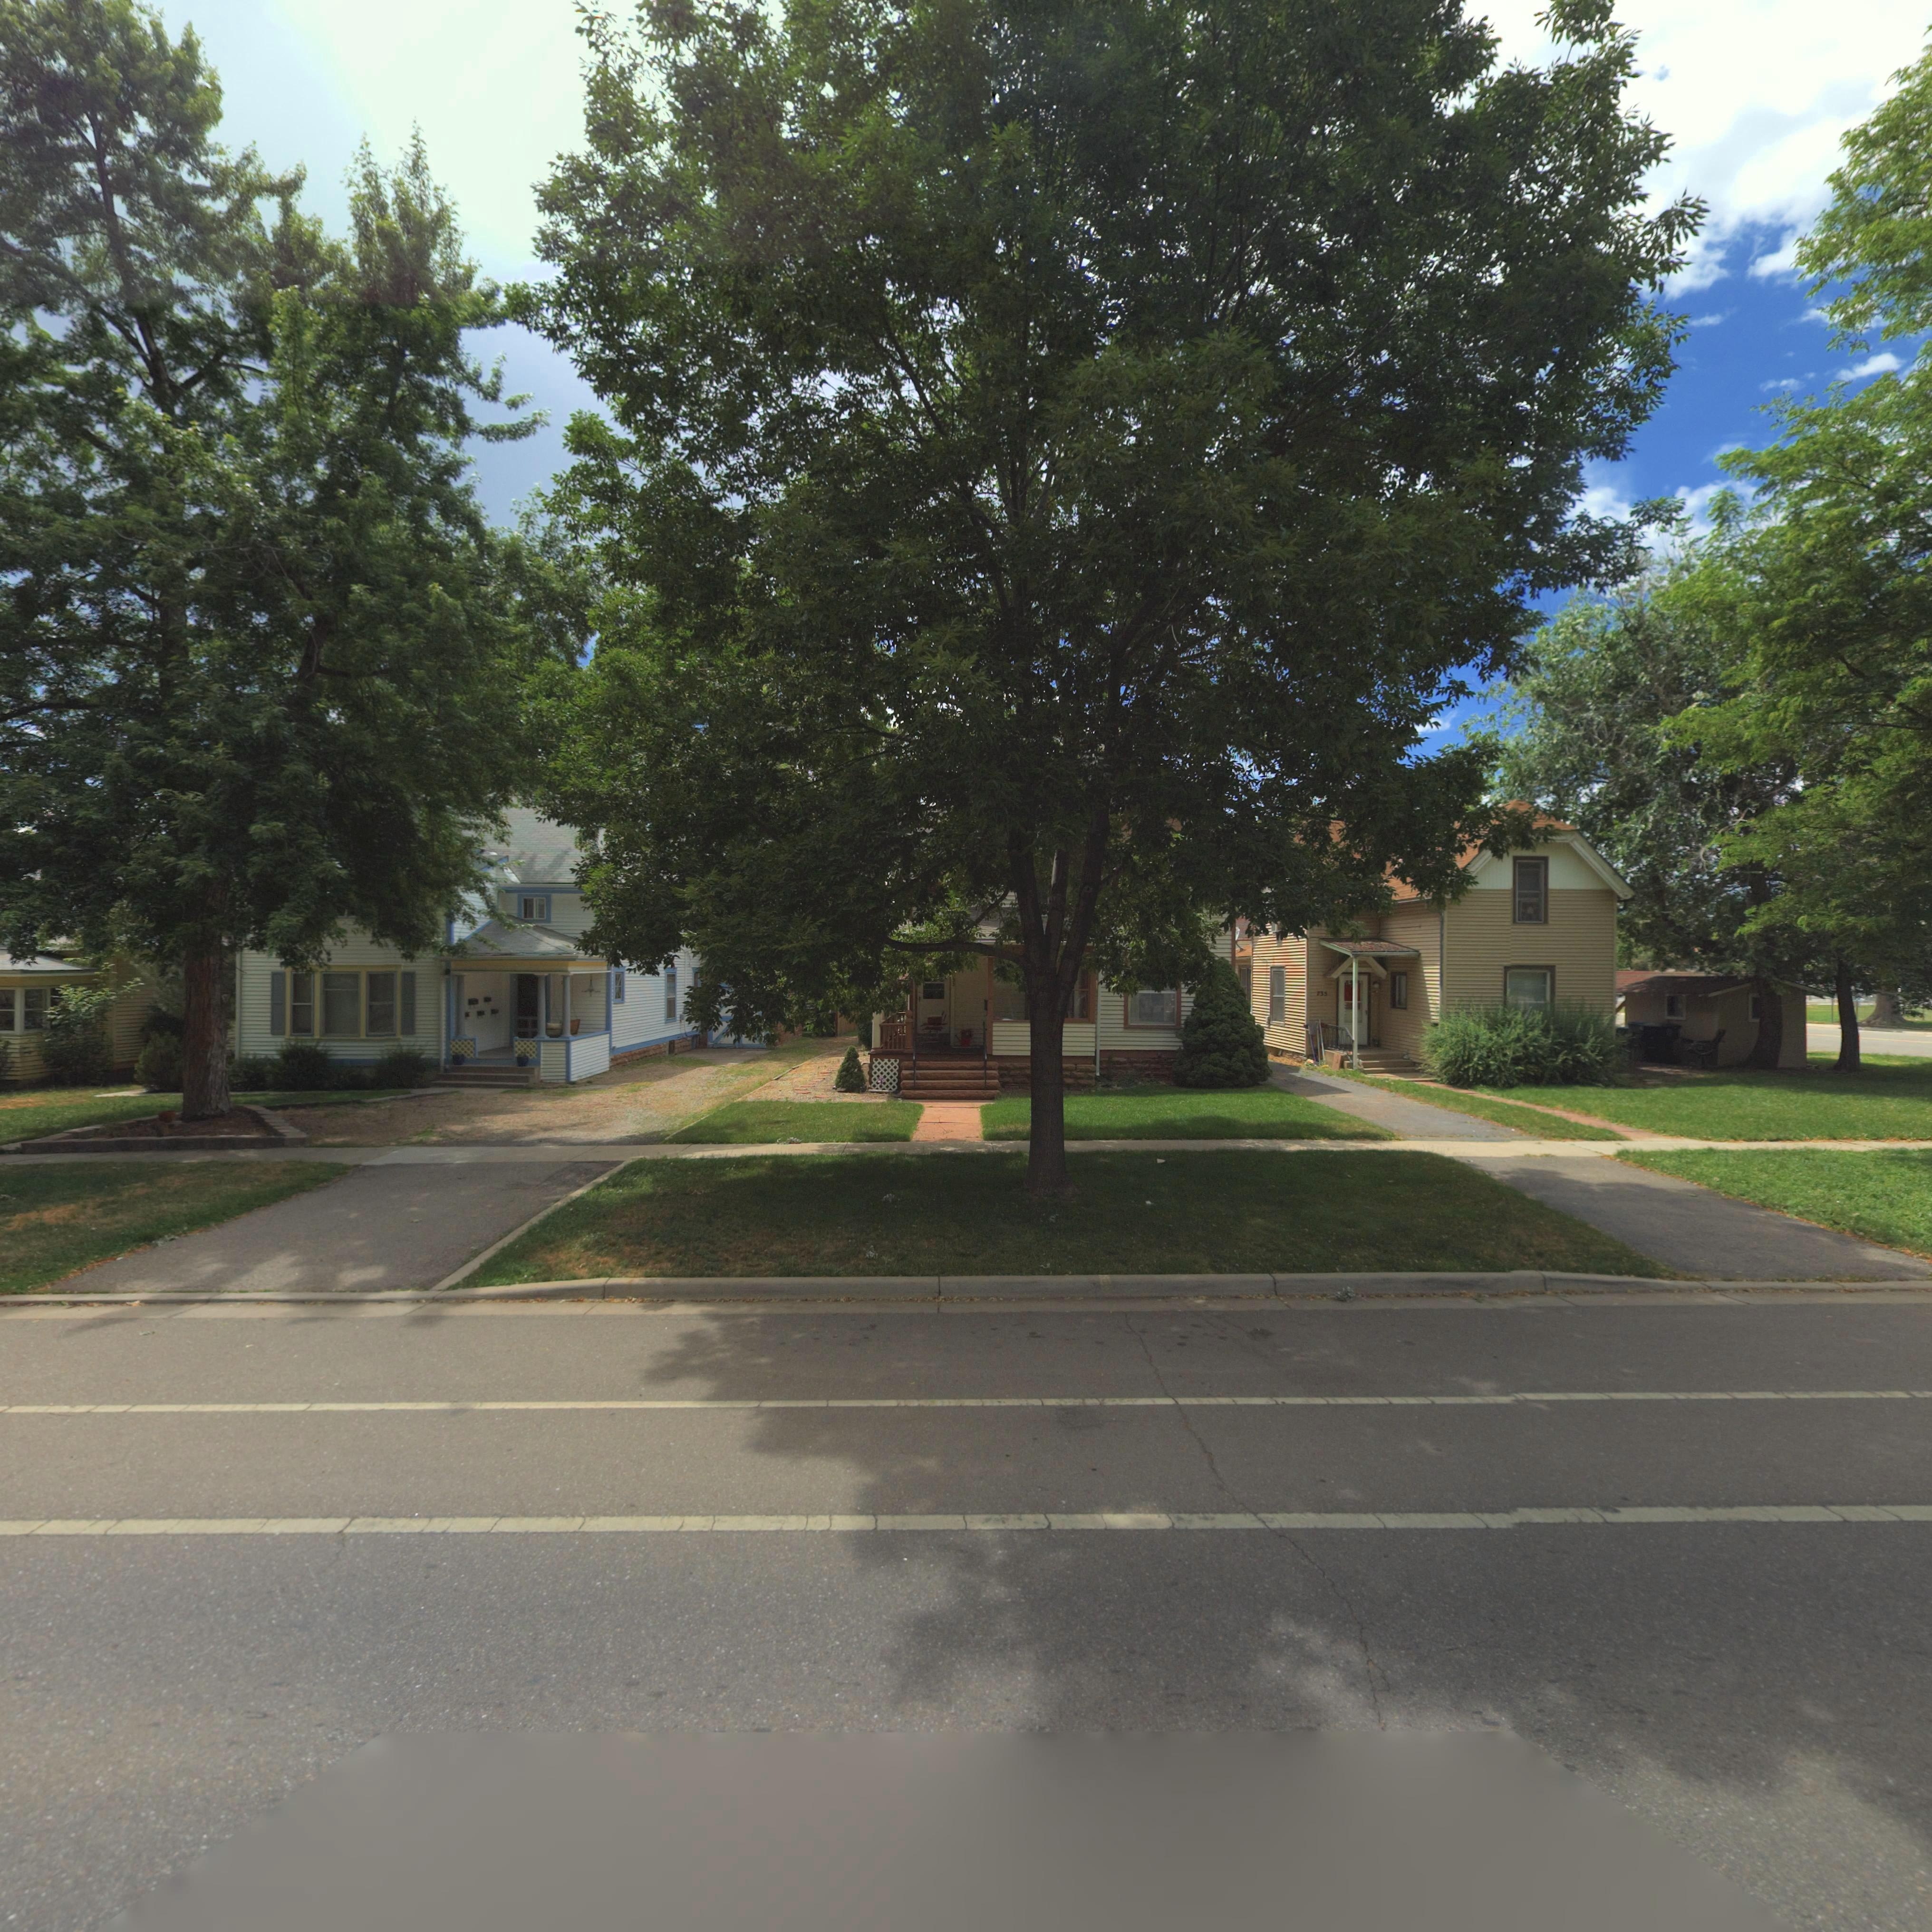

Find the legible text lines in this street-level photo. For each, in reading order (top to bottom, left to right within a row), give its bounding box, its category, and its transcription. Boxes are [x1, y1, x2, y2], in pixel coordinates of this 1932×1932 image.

[951, 972, 955, 987] StreetNumber: **5
[1316, 991, 1327, 996] StreetNumber: 735